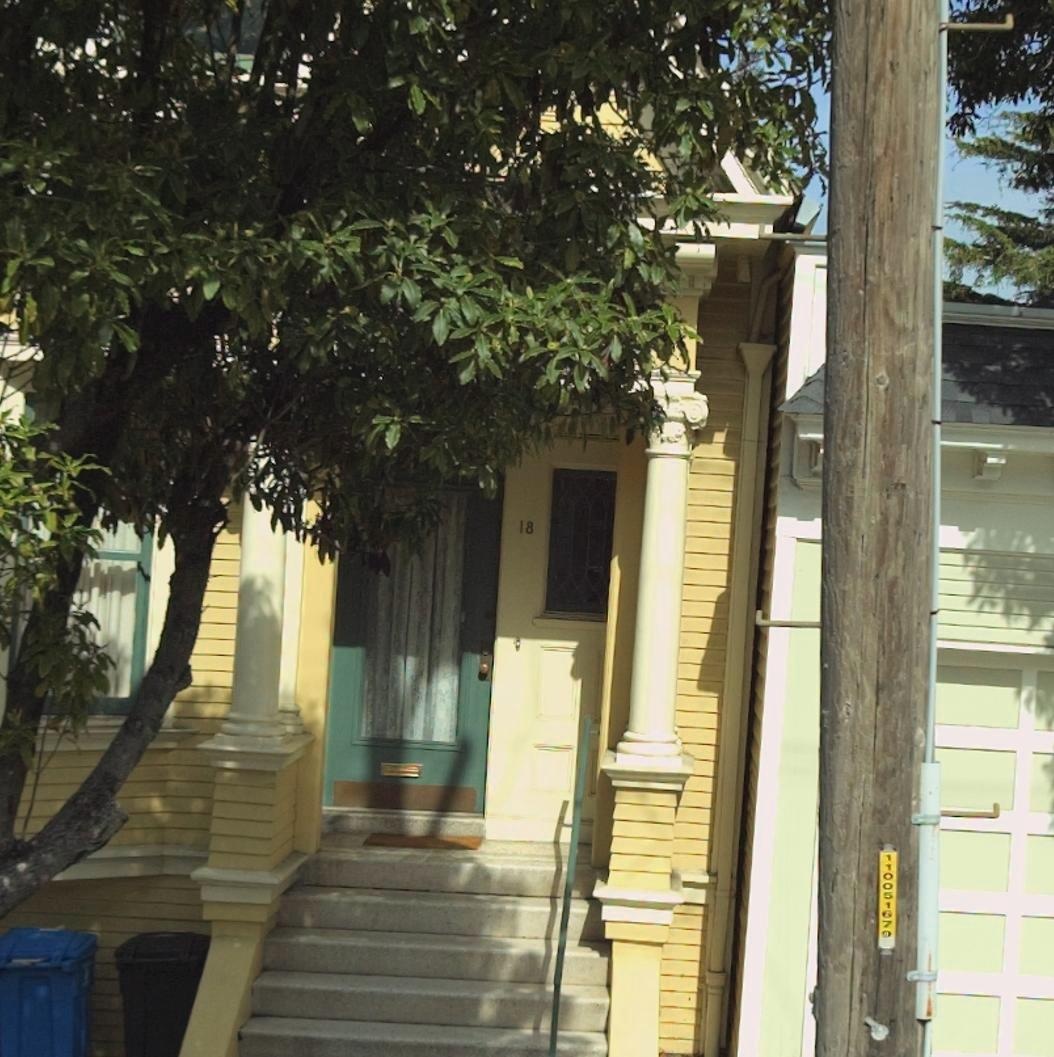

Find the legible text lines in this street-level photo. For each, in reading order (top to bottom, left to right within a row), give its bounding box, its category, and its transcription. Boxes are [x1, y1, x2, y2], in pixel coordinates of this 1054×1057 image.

[518, 518, 536, 537] StreetNumber: 18
[879, 851, 896, 942] None: 11005167*